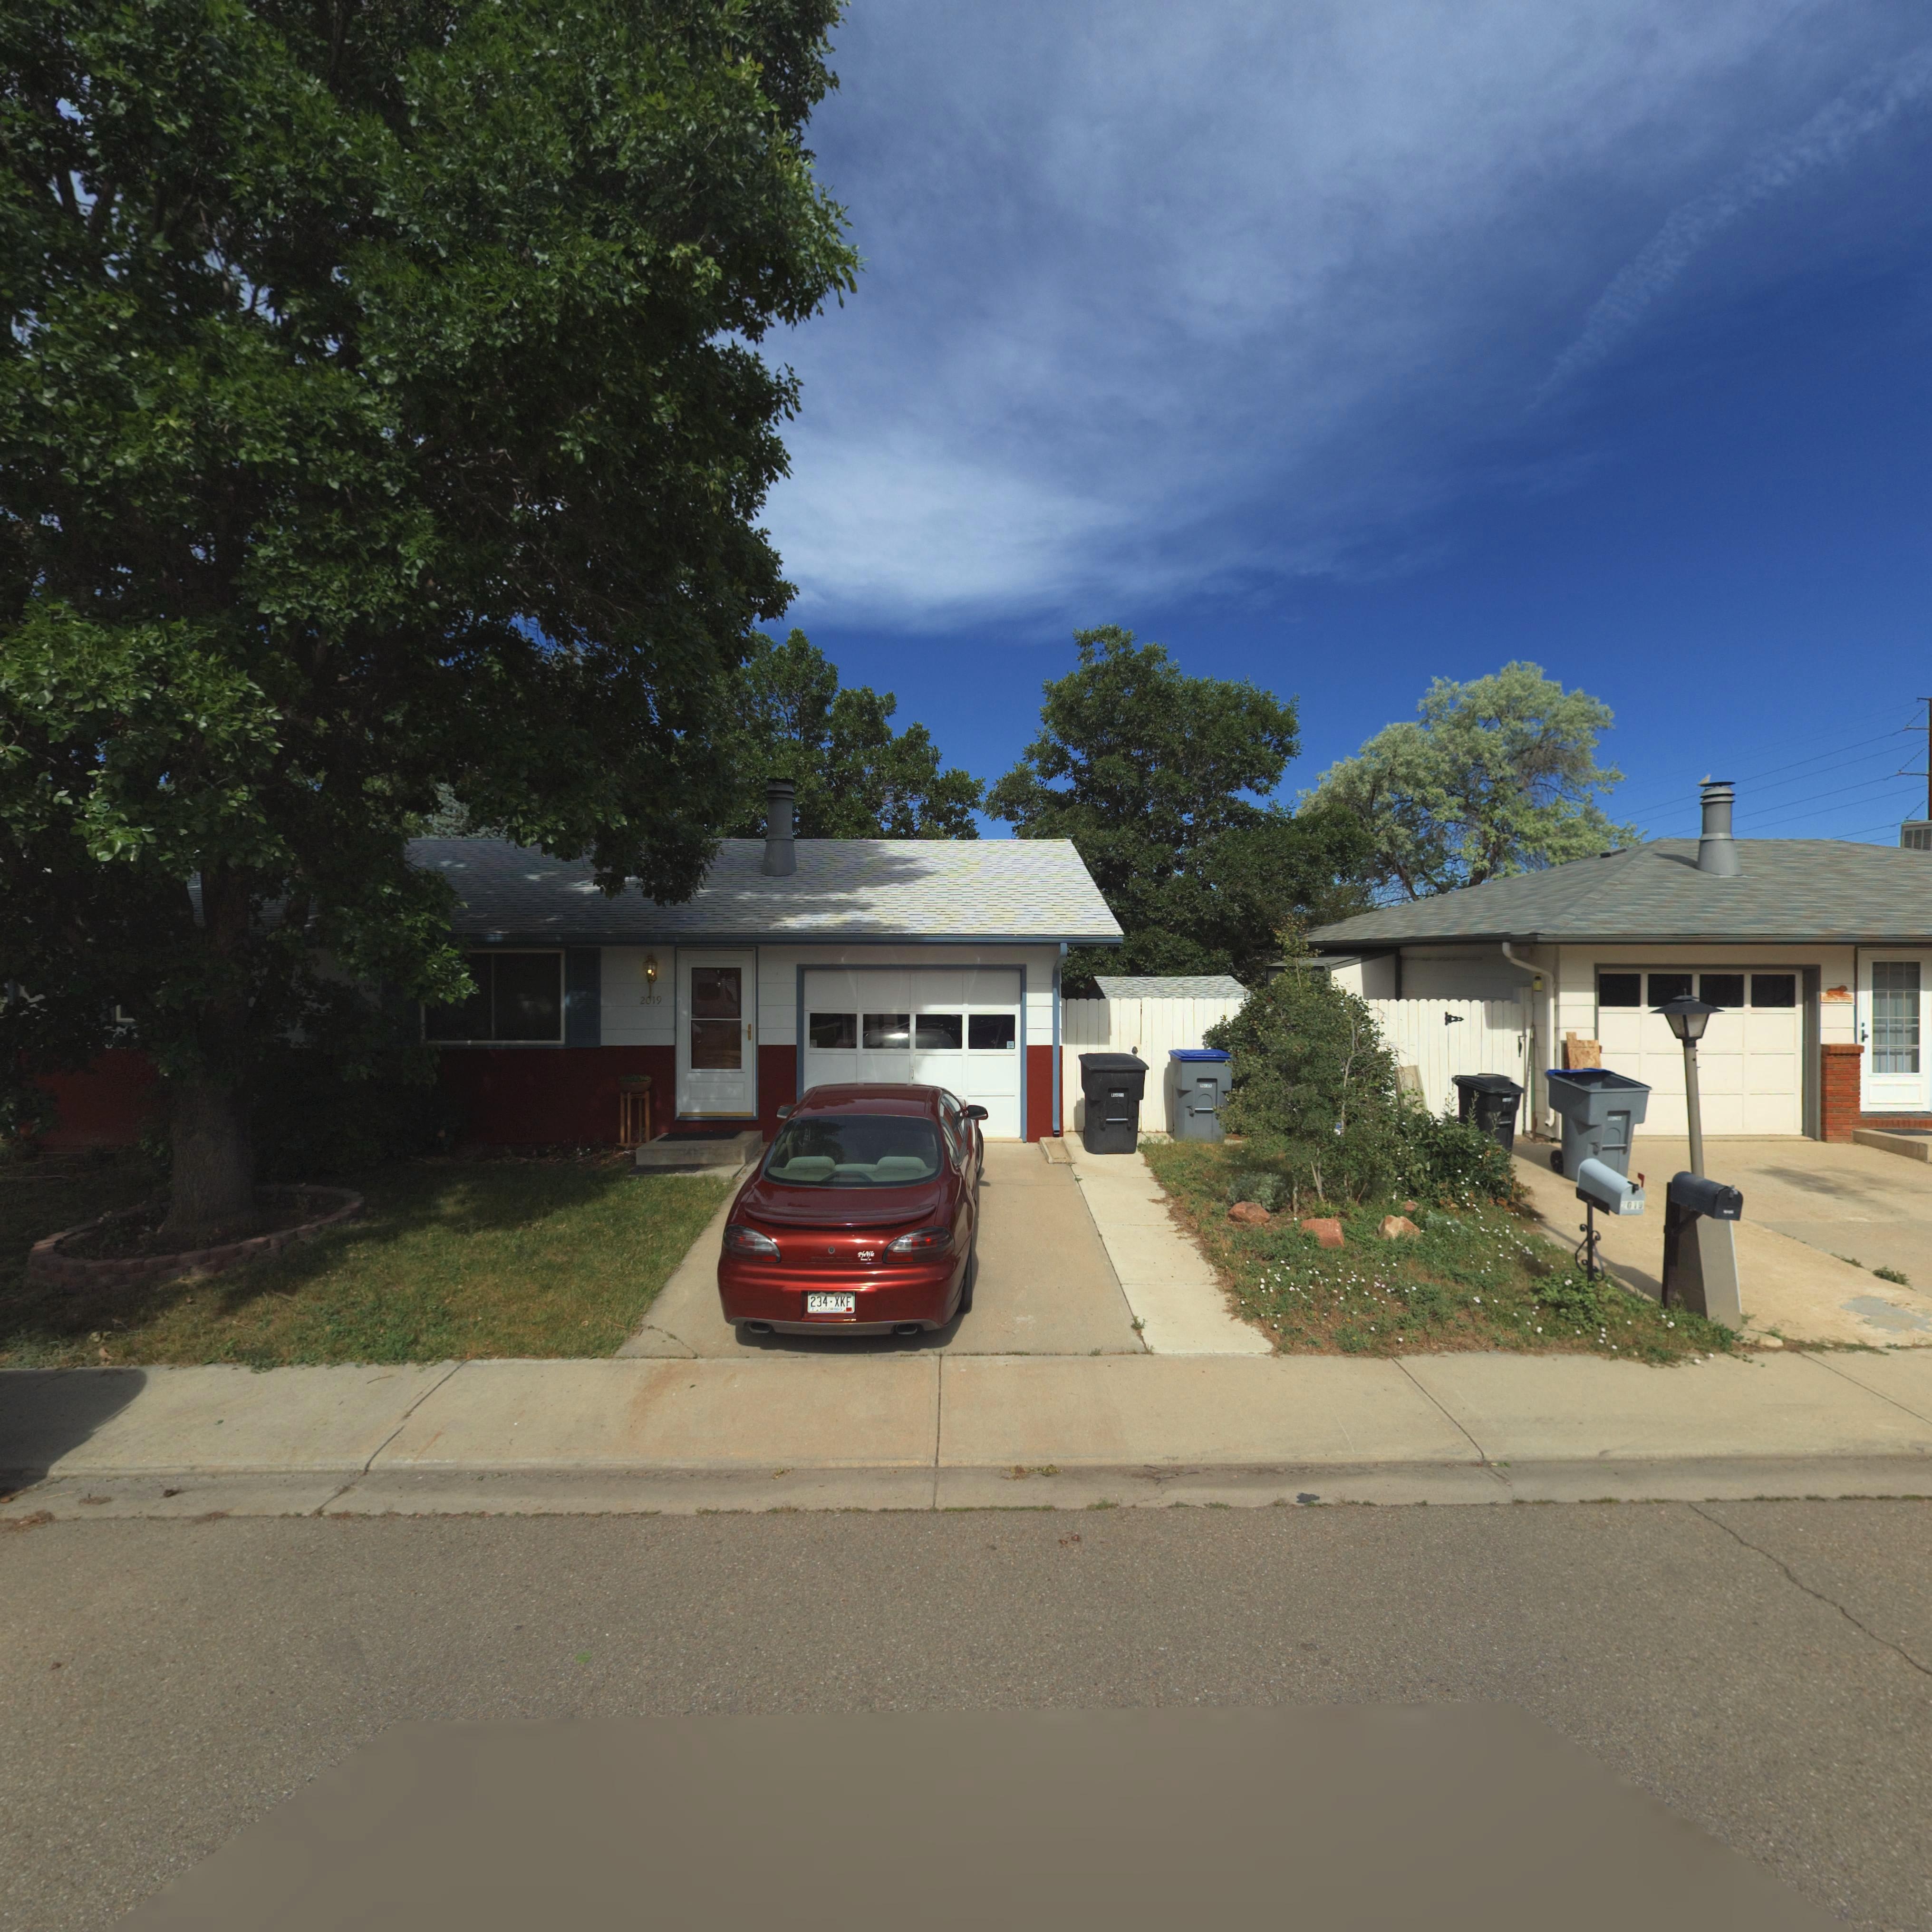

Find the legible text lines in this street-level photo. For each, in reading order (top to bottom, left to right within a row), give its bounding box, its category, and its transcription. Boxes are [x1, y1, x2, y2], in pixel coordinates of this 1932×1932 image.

[640, 995, 662, 1005] StreetNumber: 2019
[1621, 1201, 1643, 1209] StreetNumber: 2019